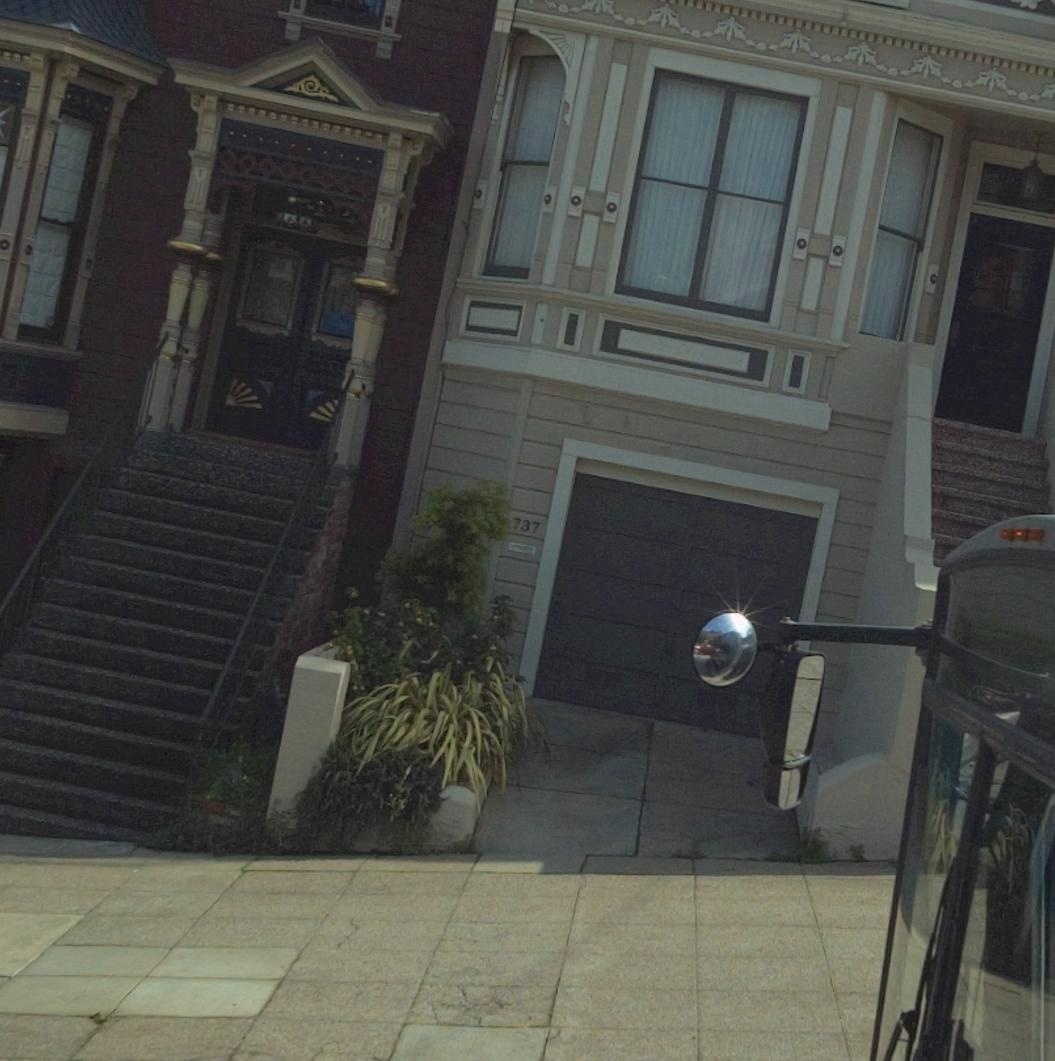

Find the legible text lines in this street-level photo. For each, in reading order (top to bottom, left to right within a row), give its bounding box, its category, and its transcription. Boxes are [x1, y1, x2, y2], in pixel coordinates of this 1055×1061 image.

[510, 515, 542, 537] StreetNumber: 737